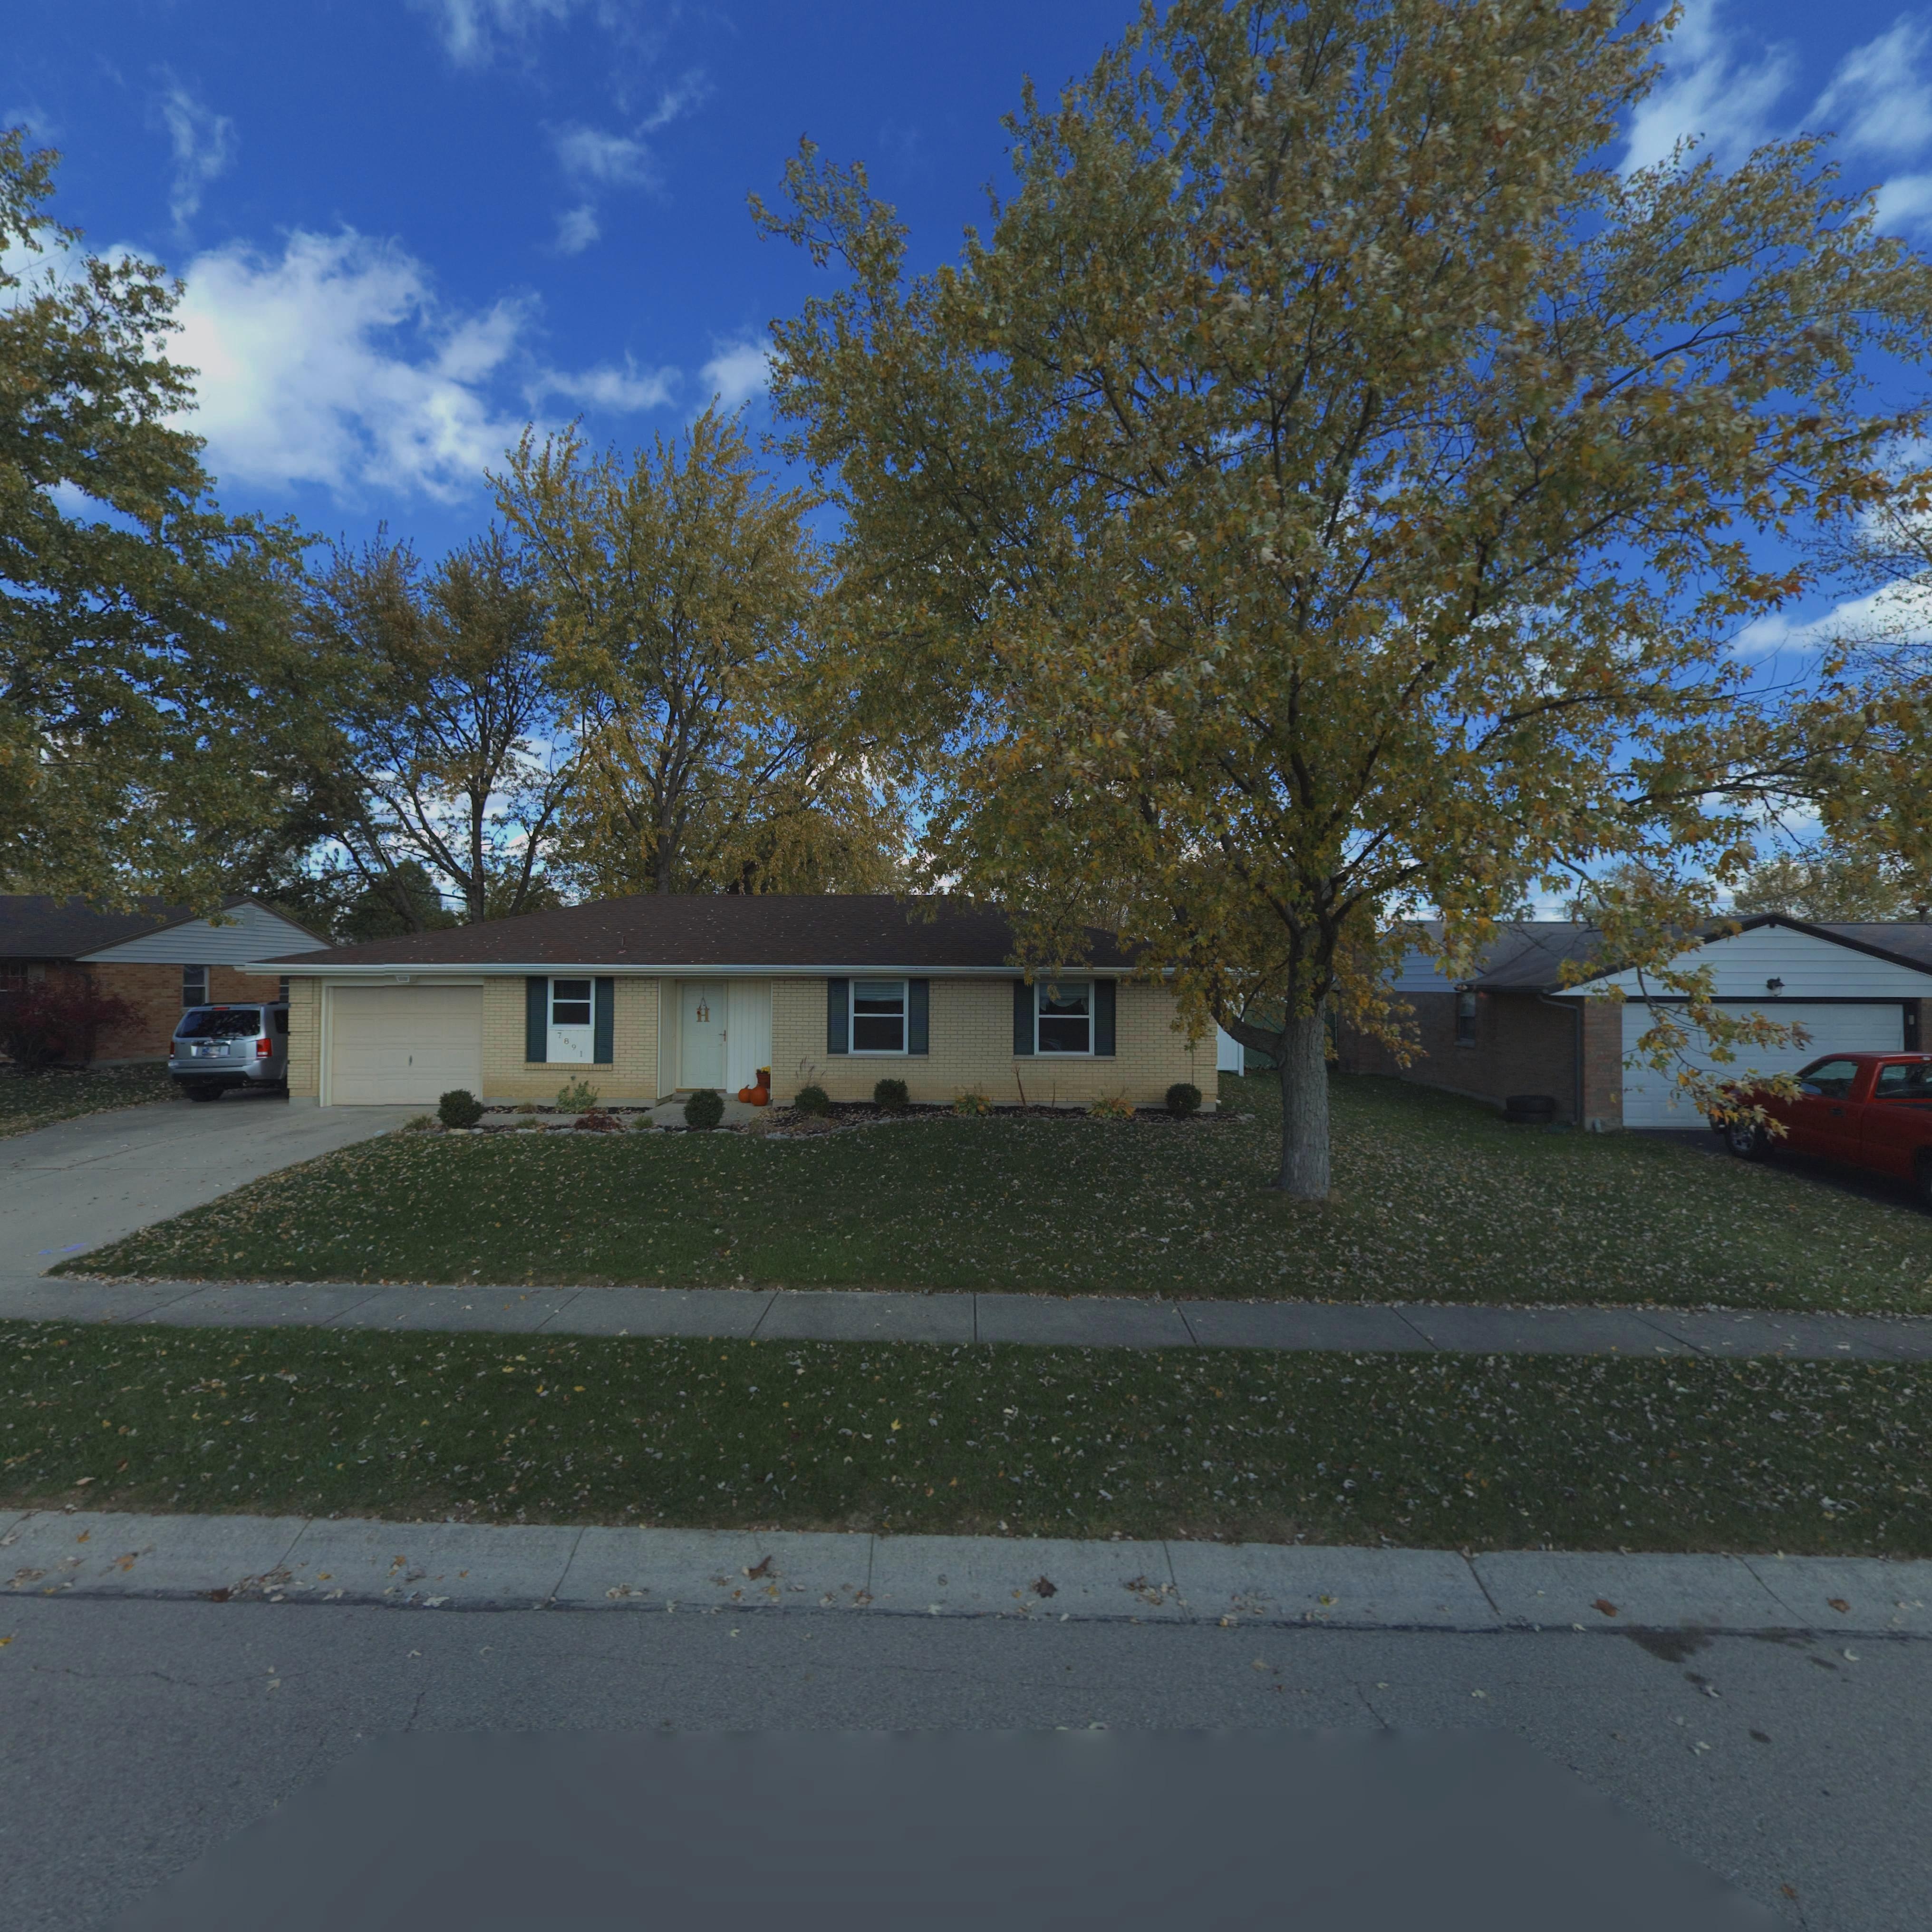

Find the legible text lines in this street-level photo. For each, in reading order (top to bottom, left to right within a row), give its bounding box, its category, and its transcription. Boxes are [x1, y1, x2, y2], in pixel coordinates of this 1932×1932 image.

[557, 1032, 583, 1058] StreetNumber: 7891